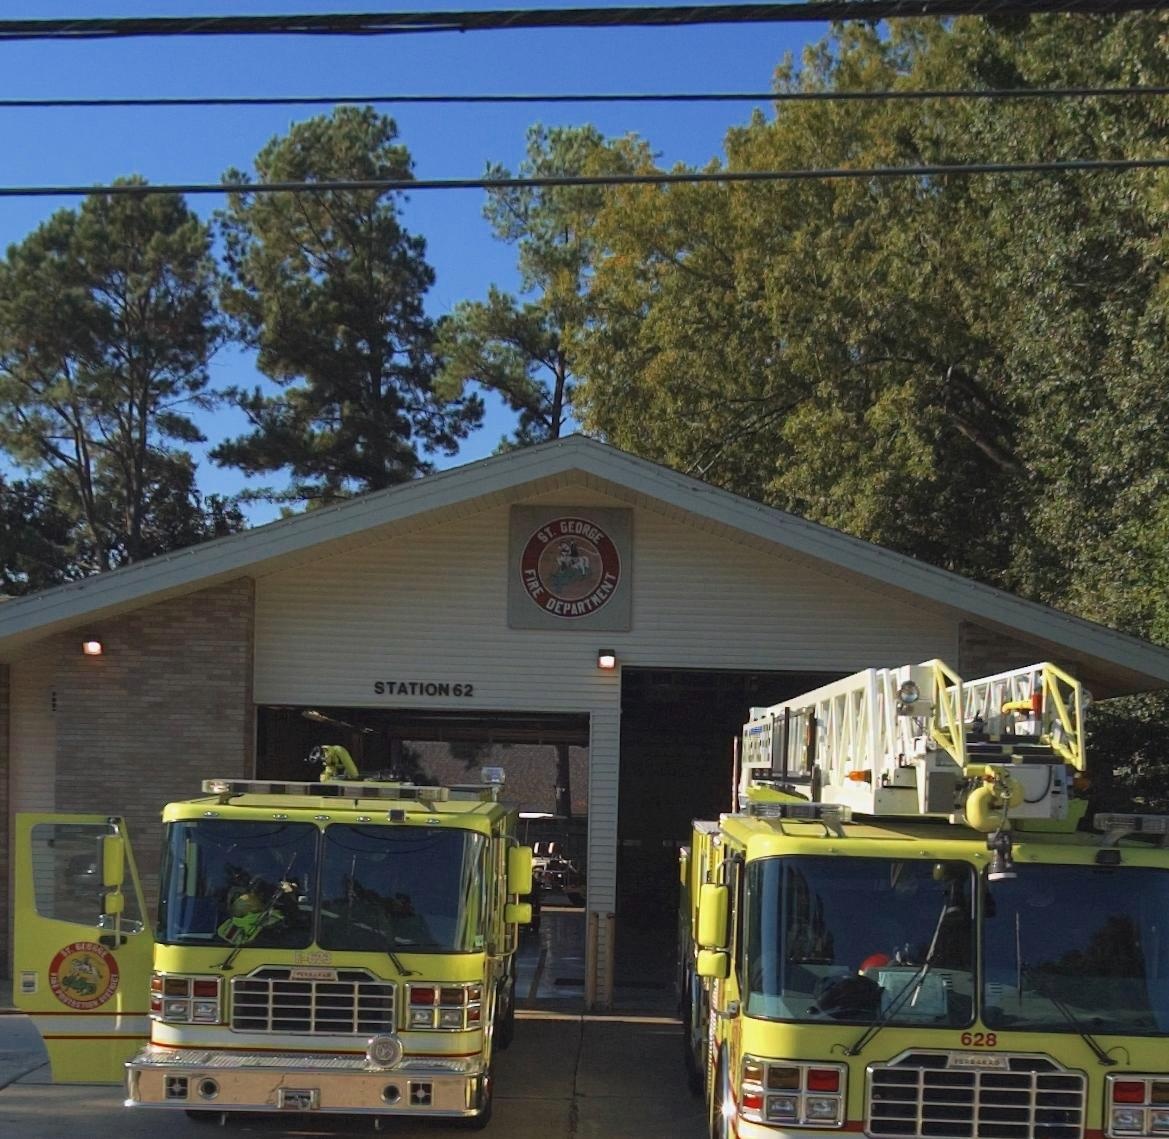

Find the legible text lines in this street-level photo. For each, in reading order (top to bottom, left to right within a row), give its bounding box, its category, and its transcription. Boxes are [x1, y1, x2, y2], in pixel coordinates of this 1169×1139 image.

[533, 518, 608, 547] BusinessName: ST. GEORGE
[522, 566, 621, 617] BusinessName: FIRE DEPARTMENT
[371, 678, 477, 699] None: STATION 62
[305, 948, 334, 967] None: 623
[958, 1029, 1000, 1049] None: 628